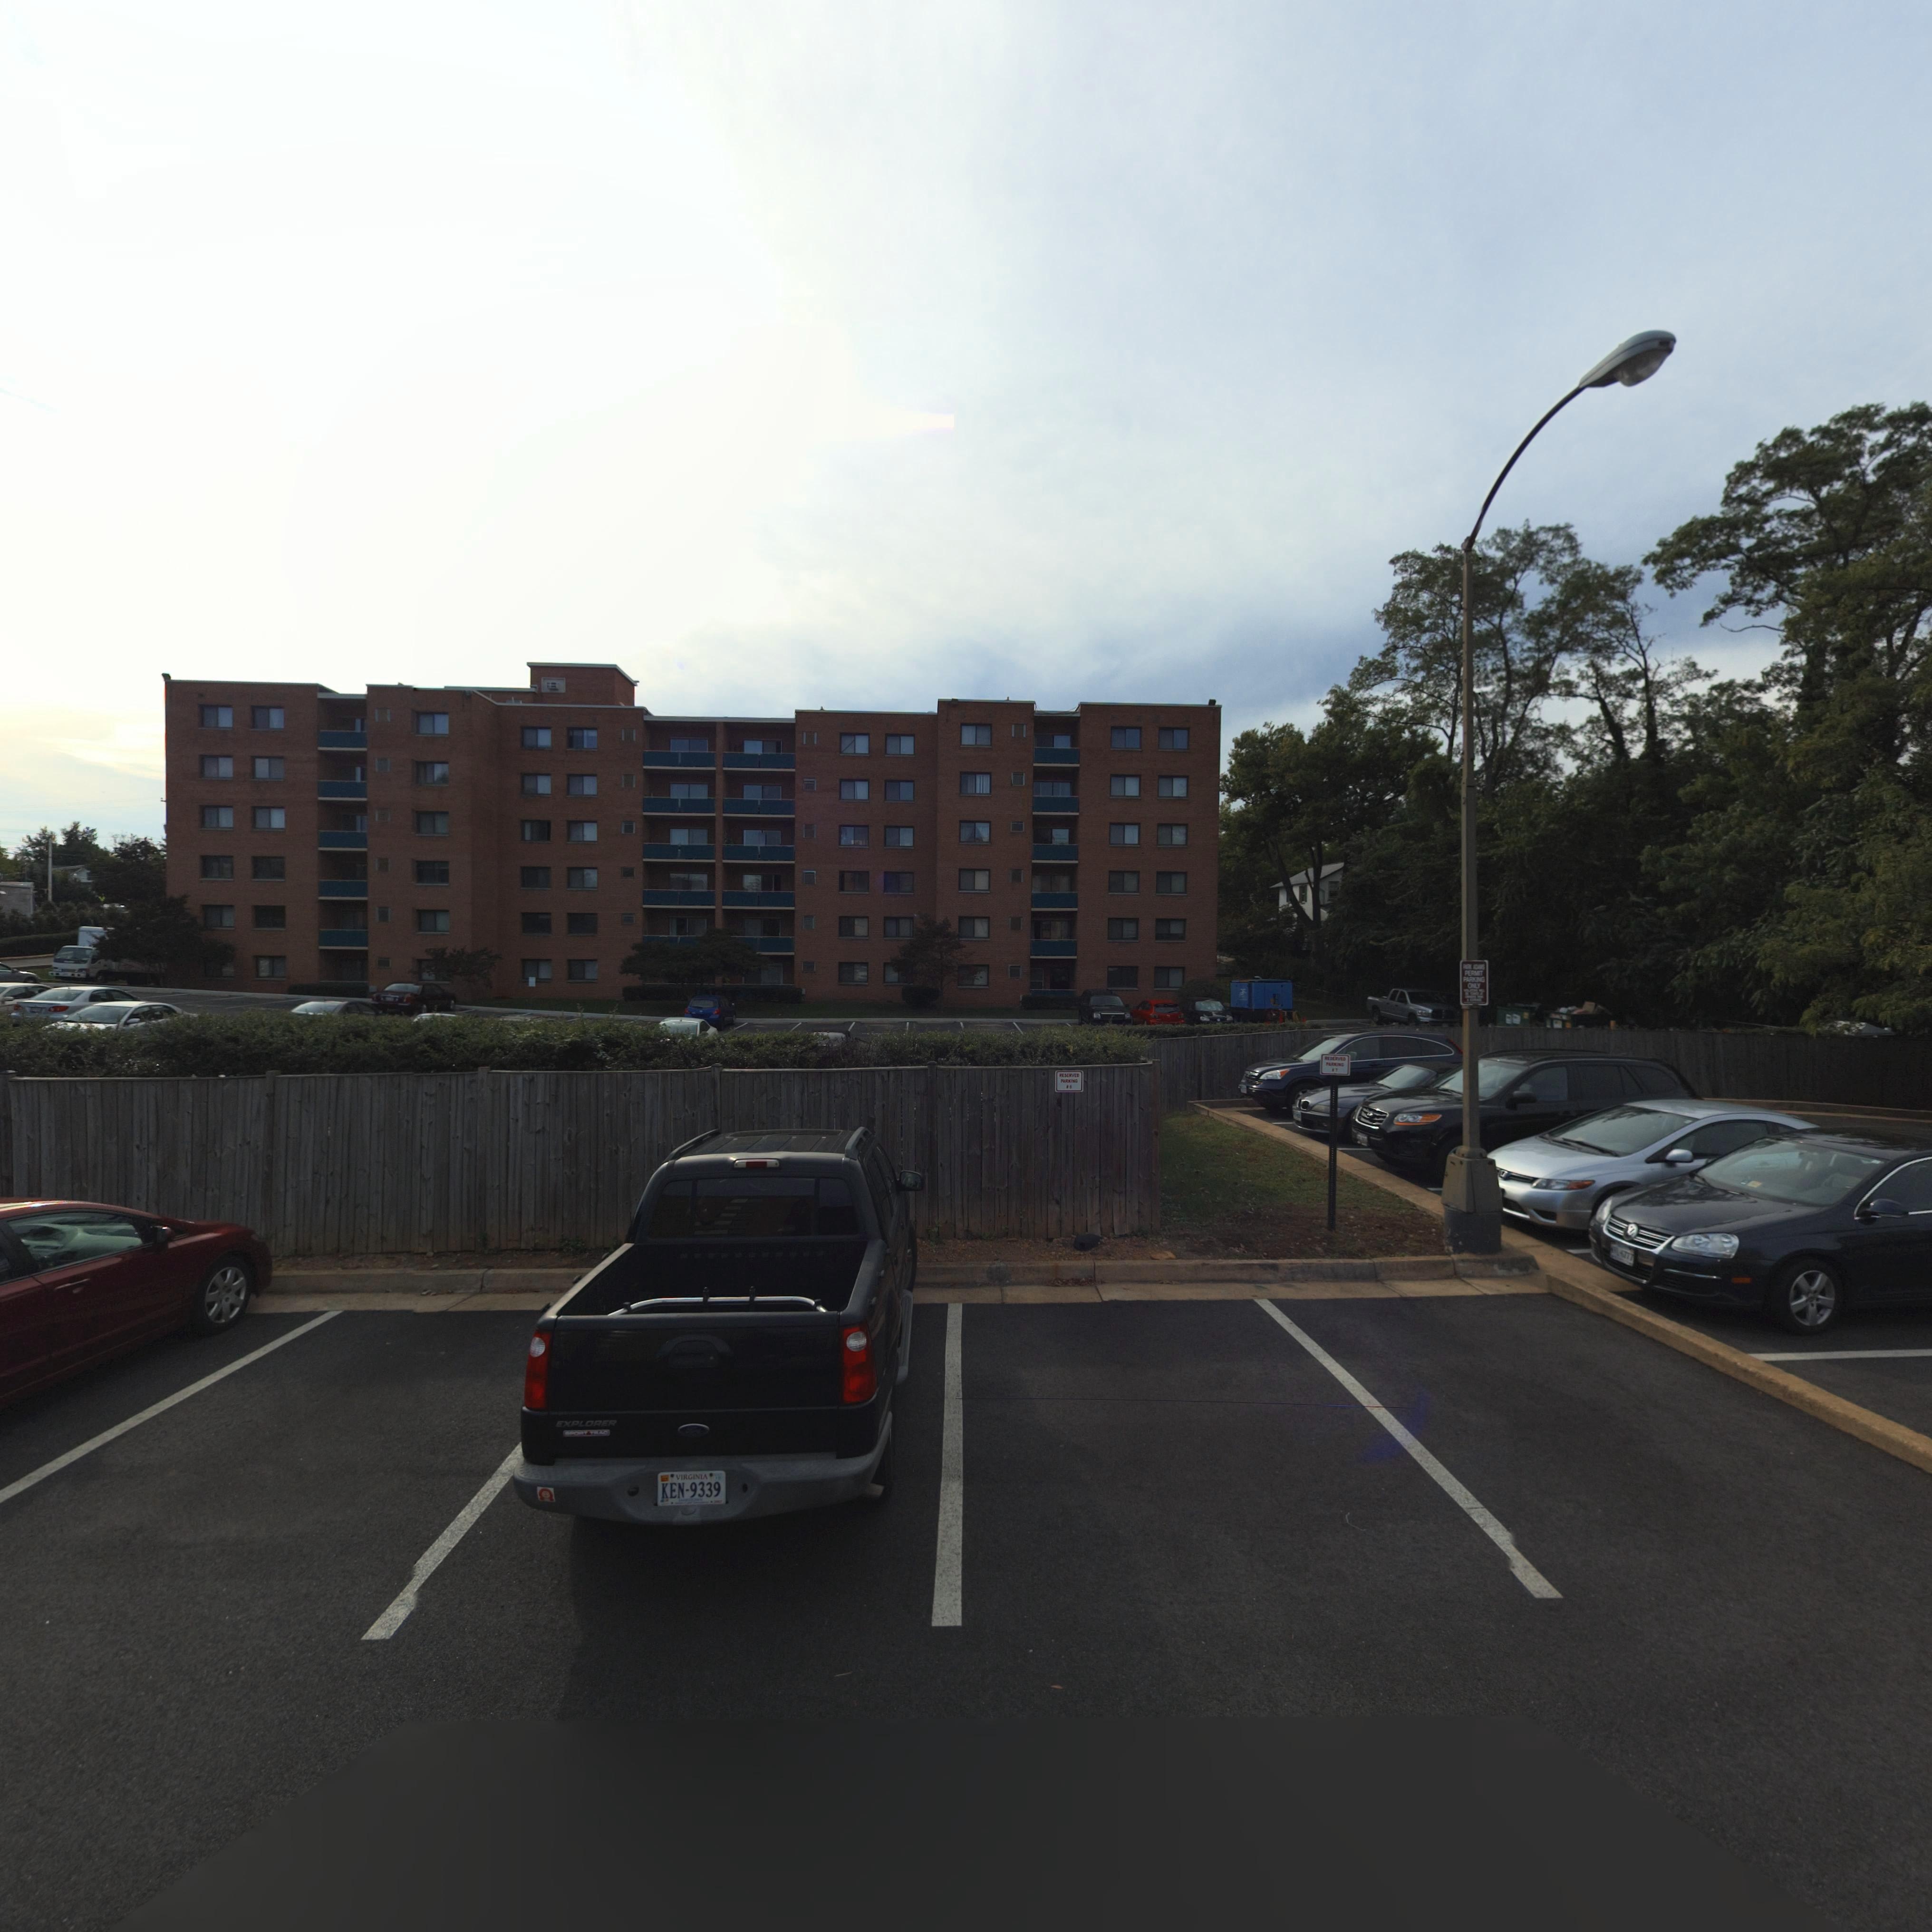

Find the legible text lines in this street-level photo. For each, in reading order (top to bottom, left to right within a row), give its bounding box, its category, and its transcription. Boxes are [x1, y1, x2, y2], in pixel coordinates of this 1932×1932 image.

[1462, 963, 1485, 970] None: PARK ADAMS
[1464, 969, 1482, 976] None: PERMIT
[1463, 976, 1485, 982] None: PARKING
[1467, 982, 1481, 988] None: ONLY
[1324, 1056, 1346, 1061] None: RESERVED
[1325, 1062, 1344, 1067] None: PARKING
[1059, 1073, 1079, 1077] None: RESERVED
[1060, 1078, 1078, 1083] None: PARKING
[1619, 1249, 1636, 1262] None: 4777
[554, 1419, 617, 1427] None: EXPLORER
[565, 1430, 608, 1436] None: SPORT TRAC
[676, 1473, 708, 1481] None: VIRGINIA
[661, 1481, 722, 1499] None: KEN-9339